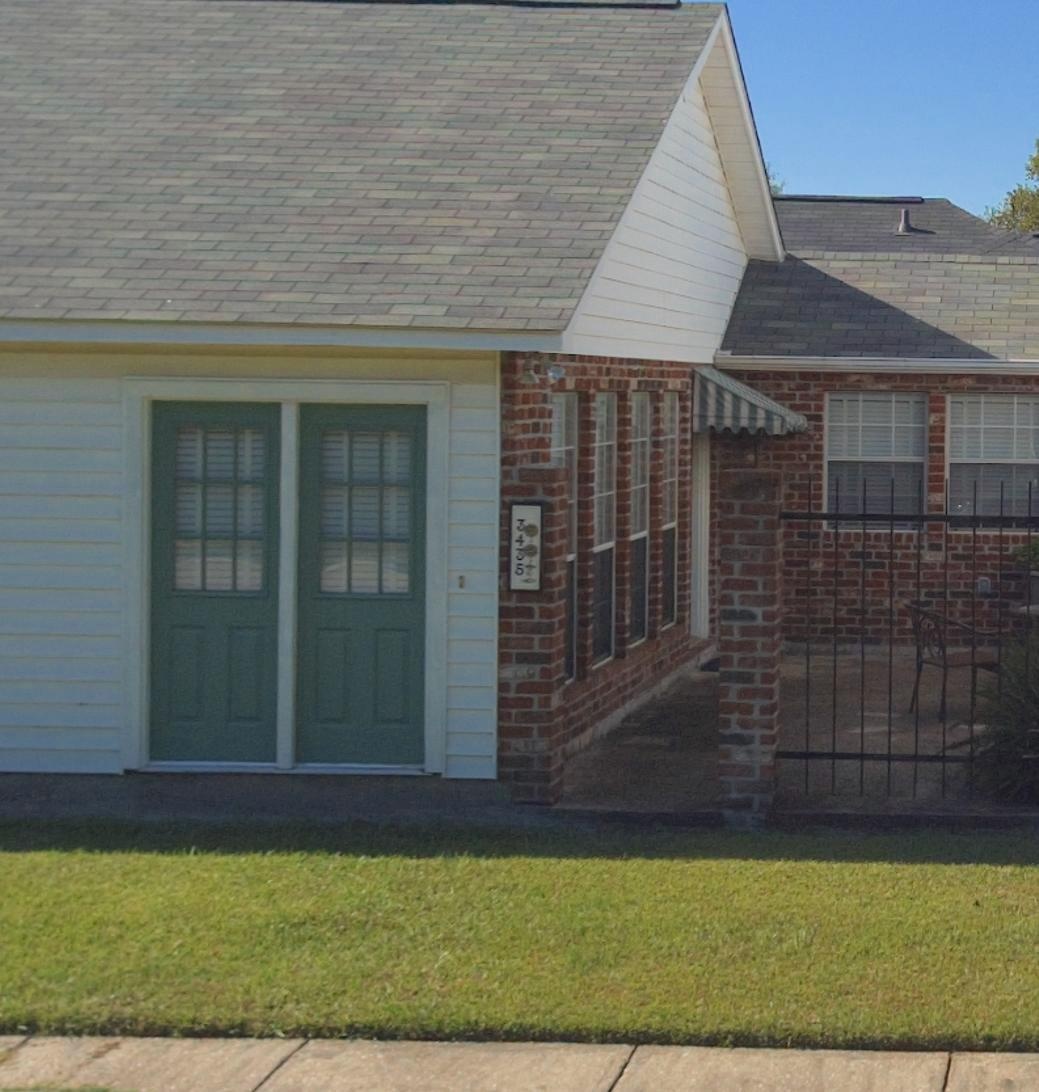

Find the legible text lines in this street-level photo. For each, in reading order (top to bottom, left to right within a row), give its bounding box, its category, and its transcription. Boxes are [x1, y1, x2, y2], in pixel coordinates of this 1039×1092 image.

[514, 517, 526, 578] StreetNumber: 3435